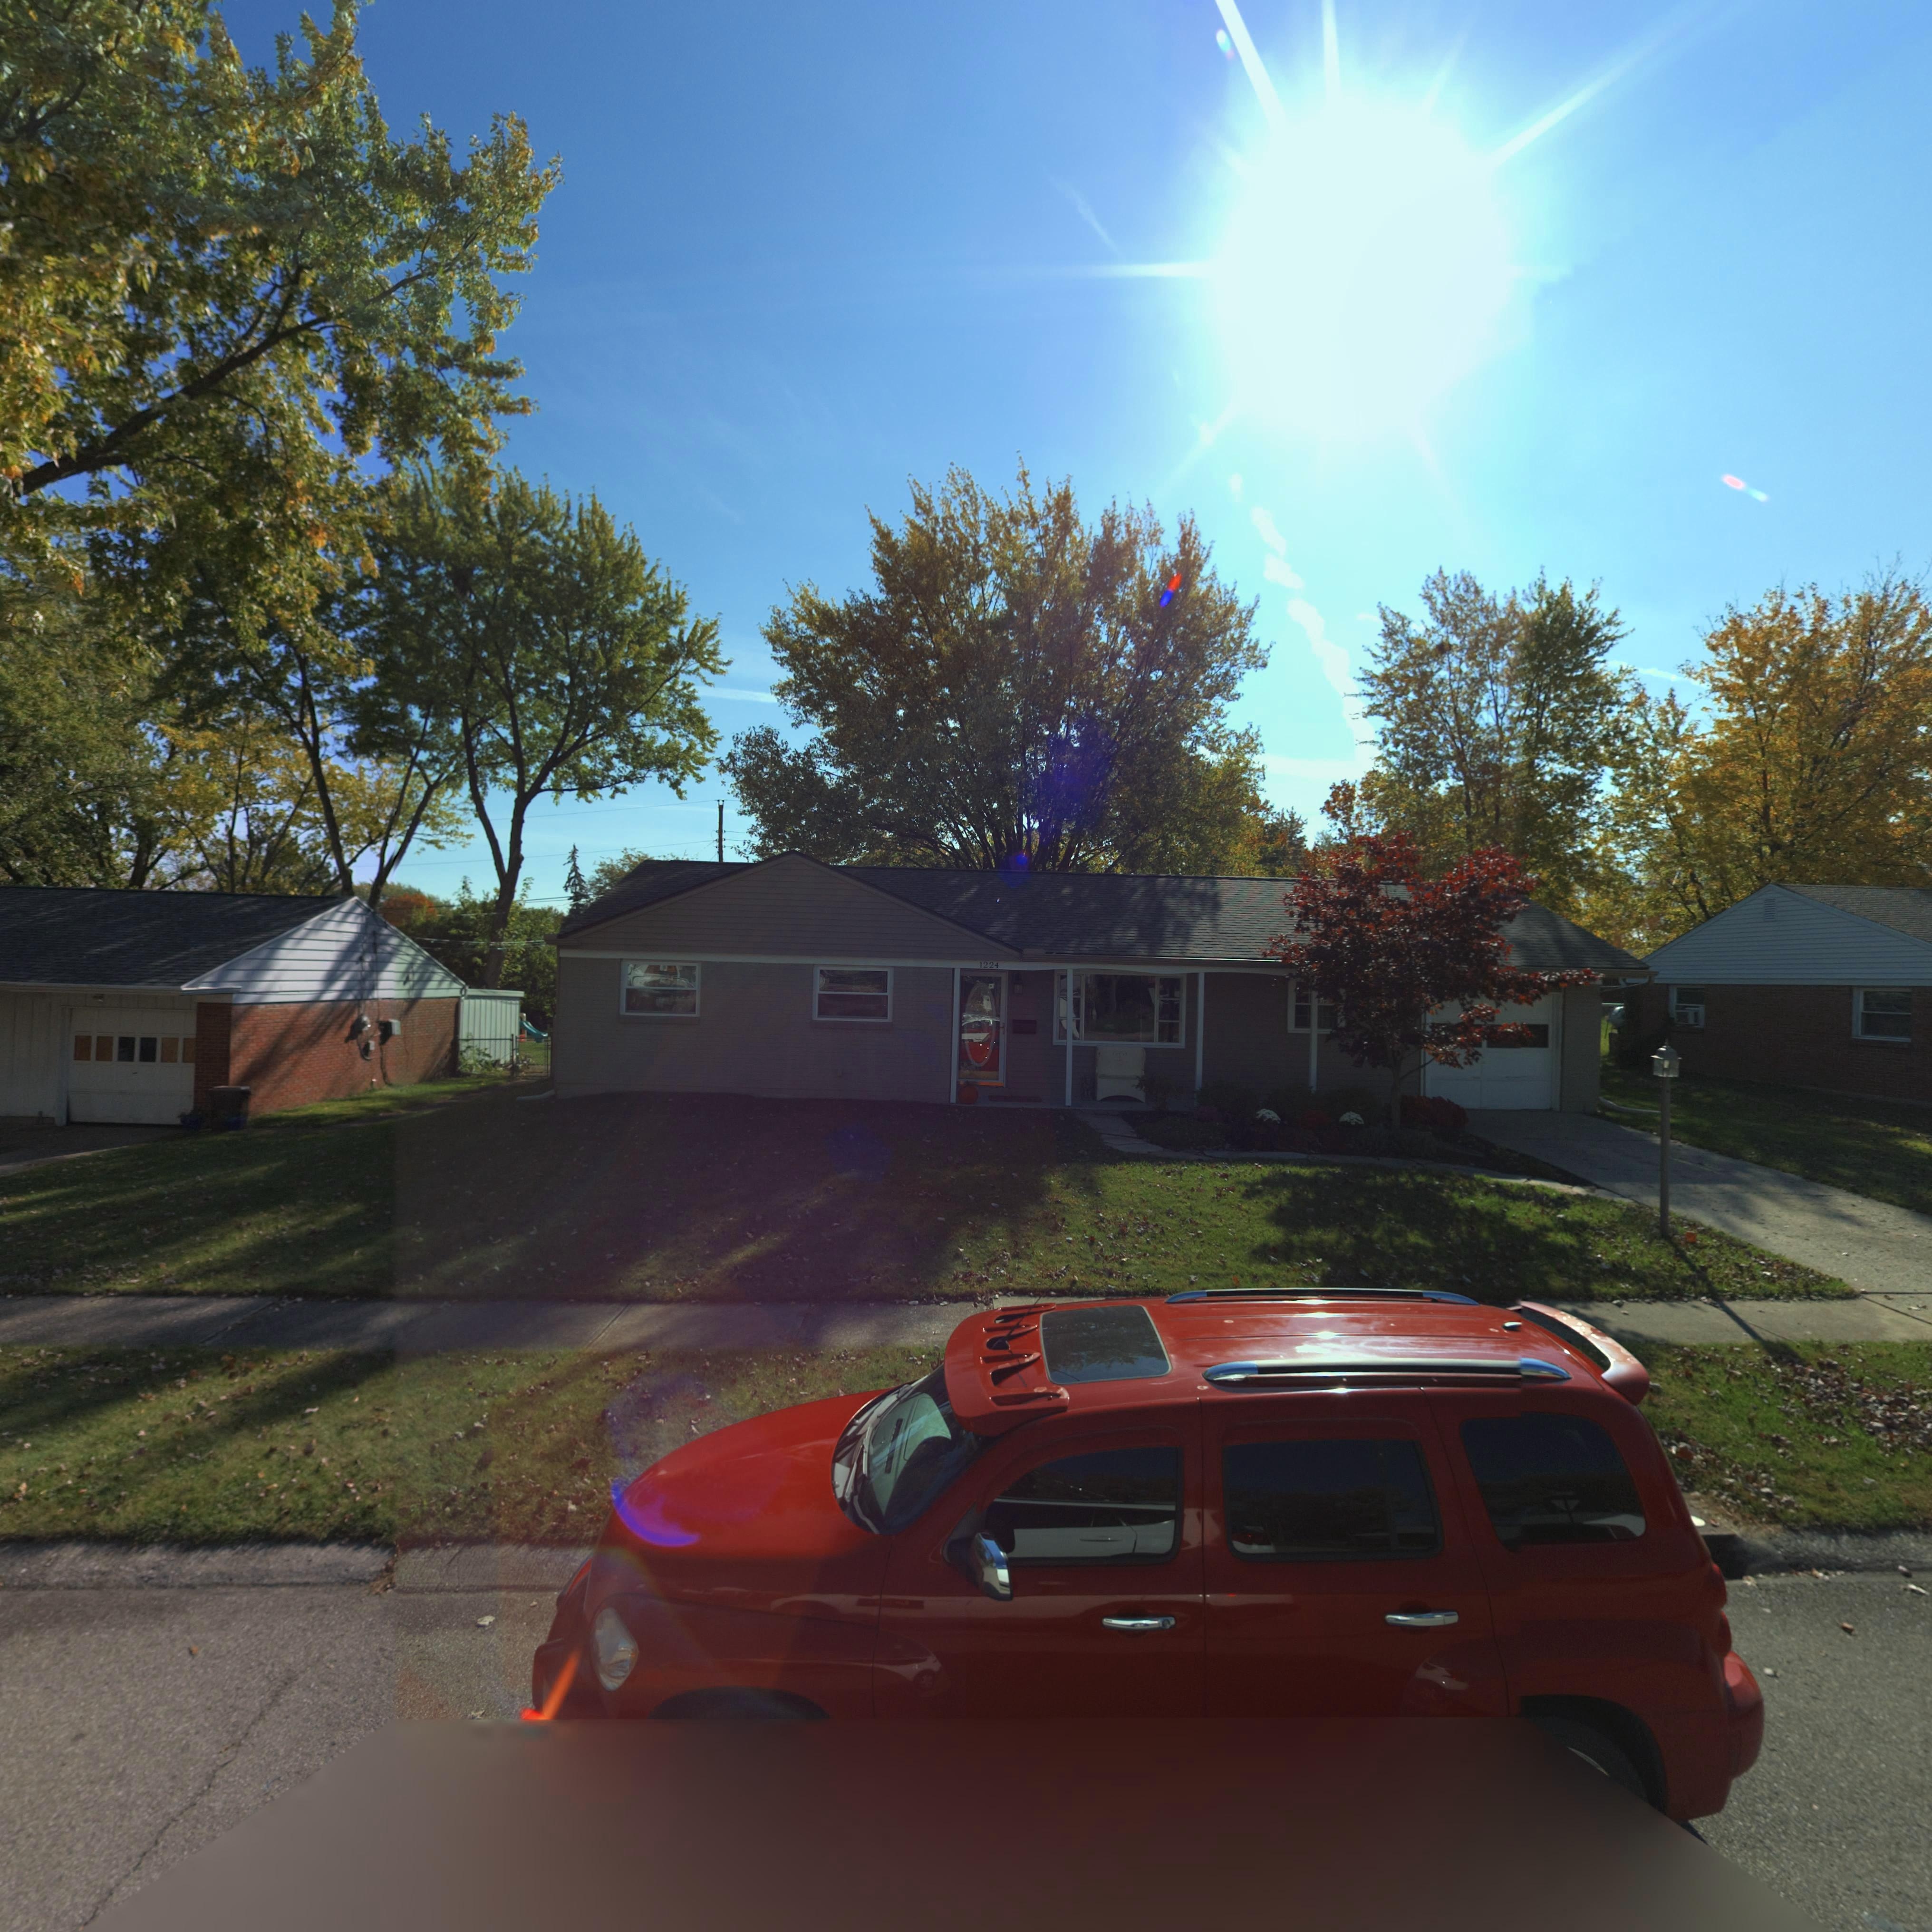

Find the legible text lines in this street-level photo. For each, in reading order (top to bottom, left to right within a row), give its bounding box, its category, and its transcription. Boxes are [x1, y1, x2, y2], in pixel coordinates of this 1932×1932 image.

[979, 961, 999, 968] StreetNumber: 1224